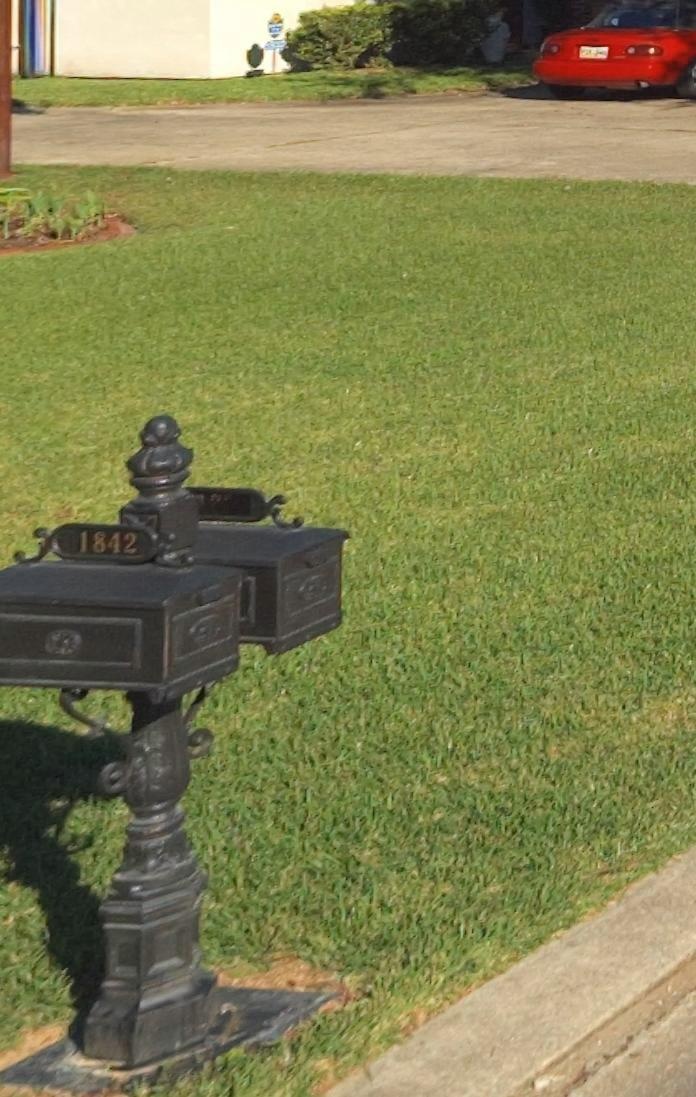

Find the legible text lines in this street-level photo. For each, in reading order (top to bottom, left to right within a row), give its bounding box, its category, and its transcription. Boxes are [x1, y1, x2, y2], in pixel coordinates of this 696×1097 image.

[76, 528, 140, 556] StreetNumber: 1842